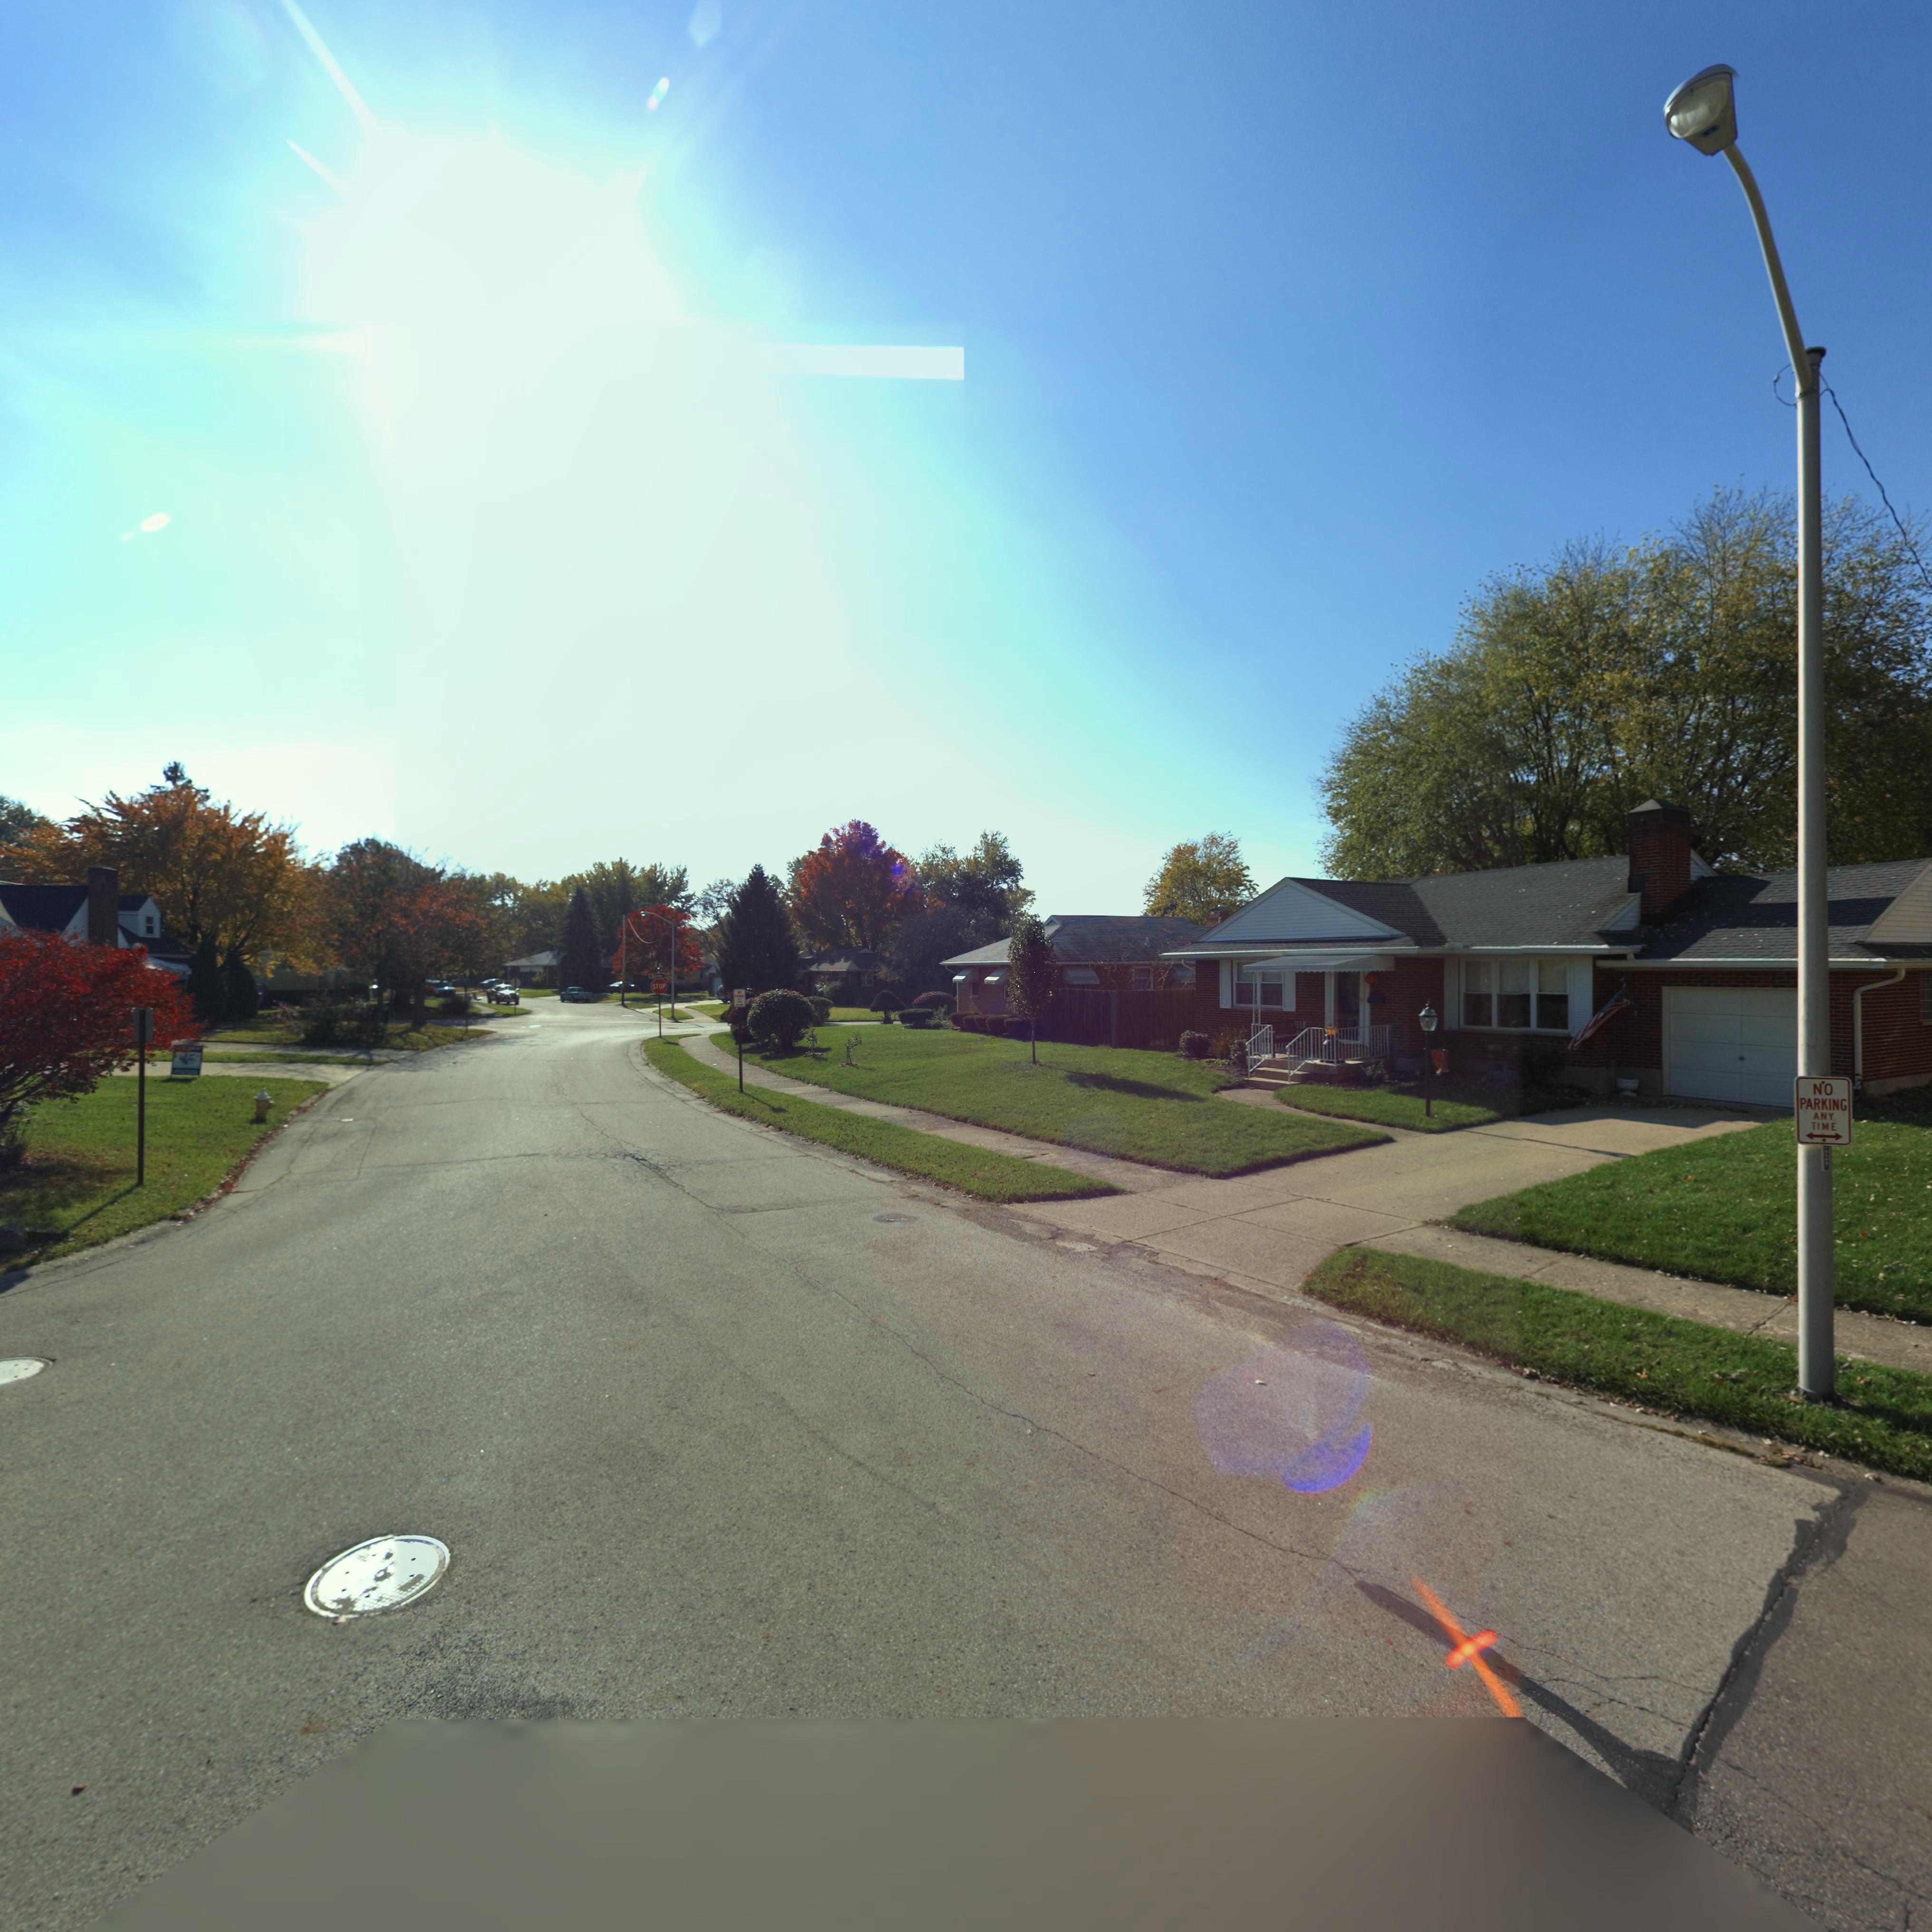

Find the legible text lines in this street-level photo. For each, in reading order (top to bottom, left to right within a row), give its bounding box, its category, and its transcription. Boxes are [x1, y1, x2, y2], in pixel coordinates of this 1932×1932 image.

[1812, 1082, 1833, 1096] None: NO
[1799, 1097, 1847, 1111] None: PARKING
[1812, 1111, 1835, 1121] None: ANY
[1810, 1121, 1837, 1131] None: TIME
[1824, 1146, 1828, 1166] None: 1****